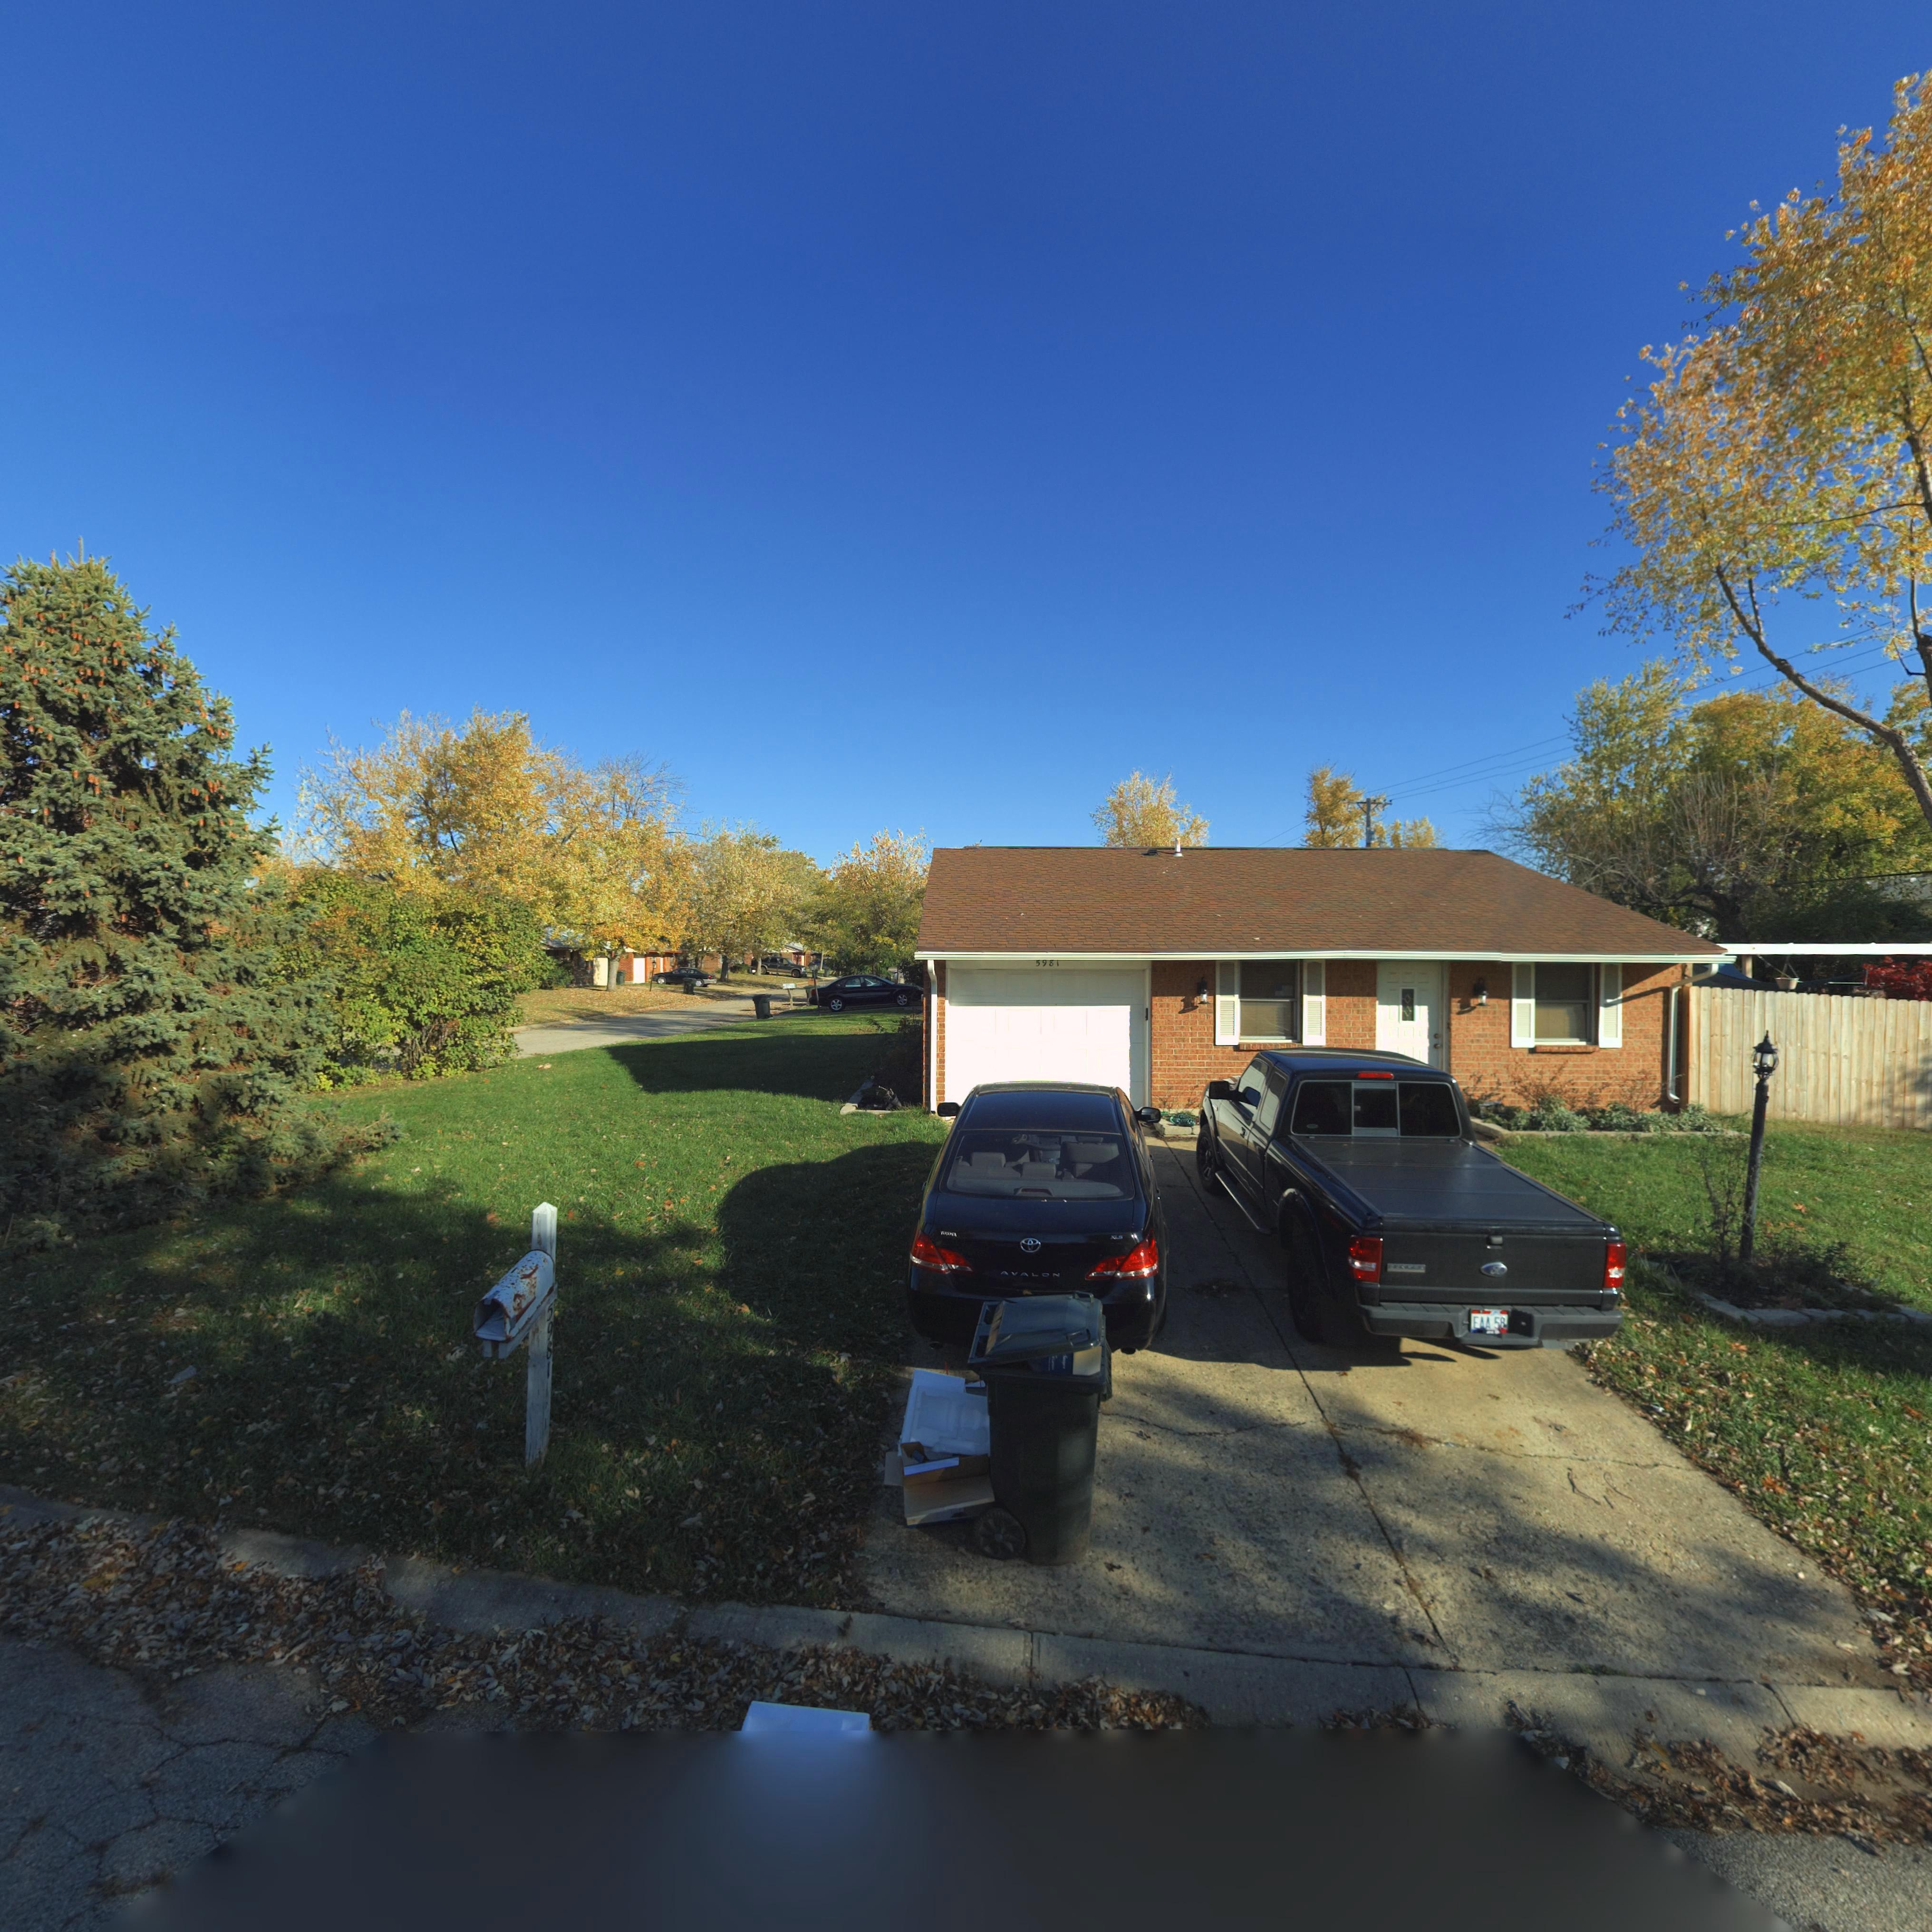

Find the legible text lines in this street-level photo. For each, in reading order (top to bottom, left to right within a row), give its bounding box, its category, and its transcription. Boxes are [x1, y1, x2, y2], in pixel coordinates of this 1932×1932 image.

[1034, 959, 1060, 968] StreetNumber: 5981
[545, 1301, 555, 1381] StreetNumber: 5981